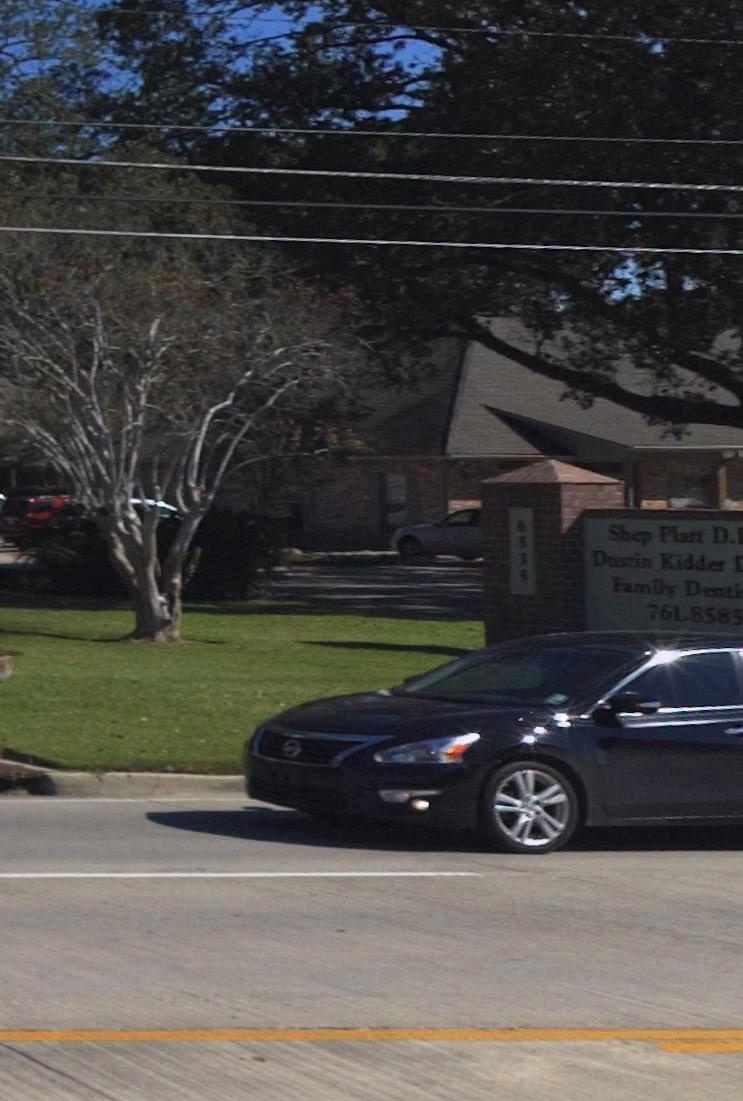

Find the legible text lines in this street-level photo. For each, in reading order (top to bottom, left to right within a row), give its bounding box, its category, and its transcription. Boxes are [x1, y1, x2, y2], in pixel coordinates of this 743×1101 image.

[605, 521, 742, 548] None: Shep Platt D.
[516, 517, 529, 584] StreetNumber: 6535
[589, 546, 730, 574] None: Dustin kidder
[610, 574, 742, 601] None: Family Denti
[646, 601, 743, 626] None: 761.8585